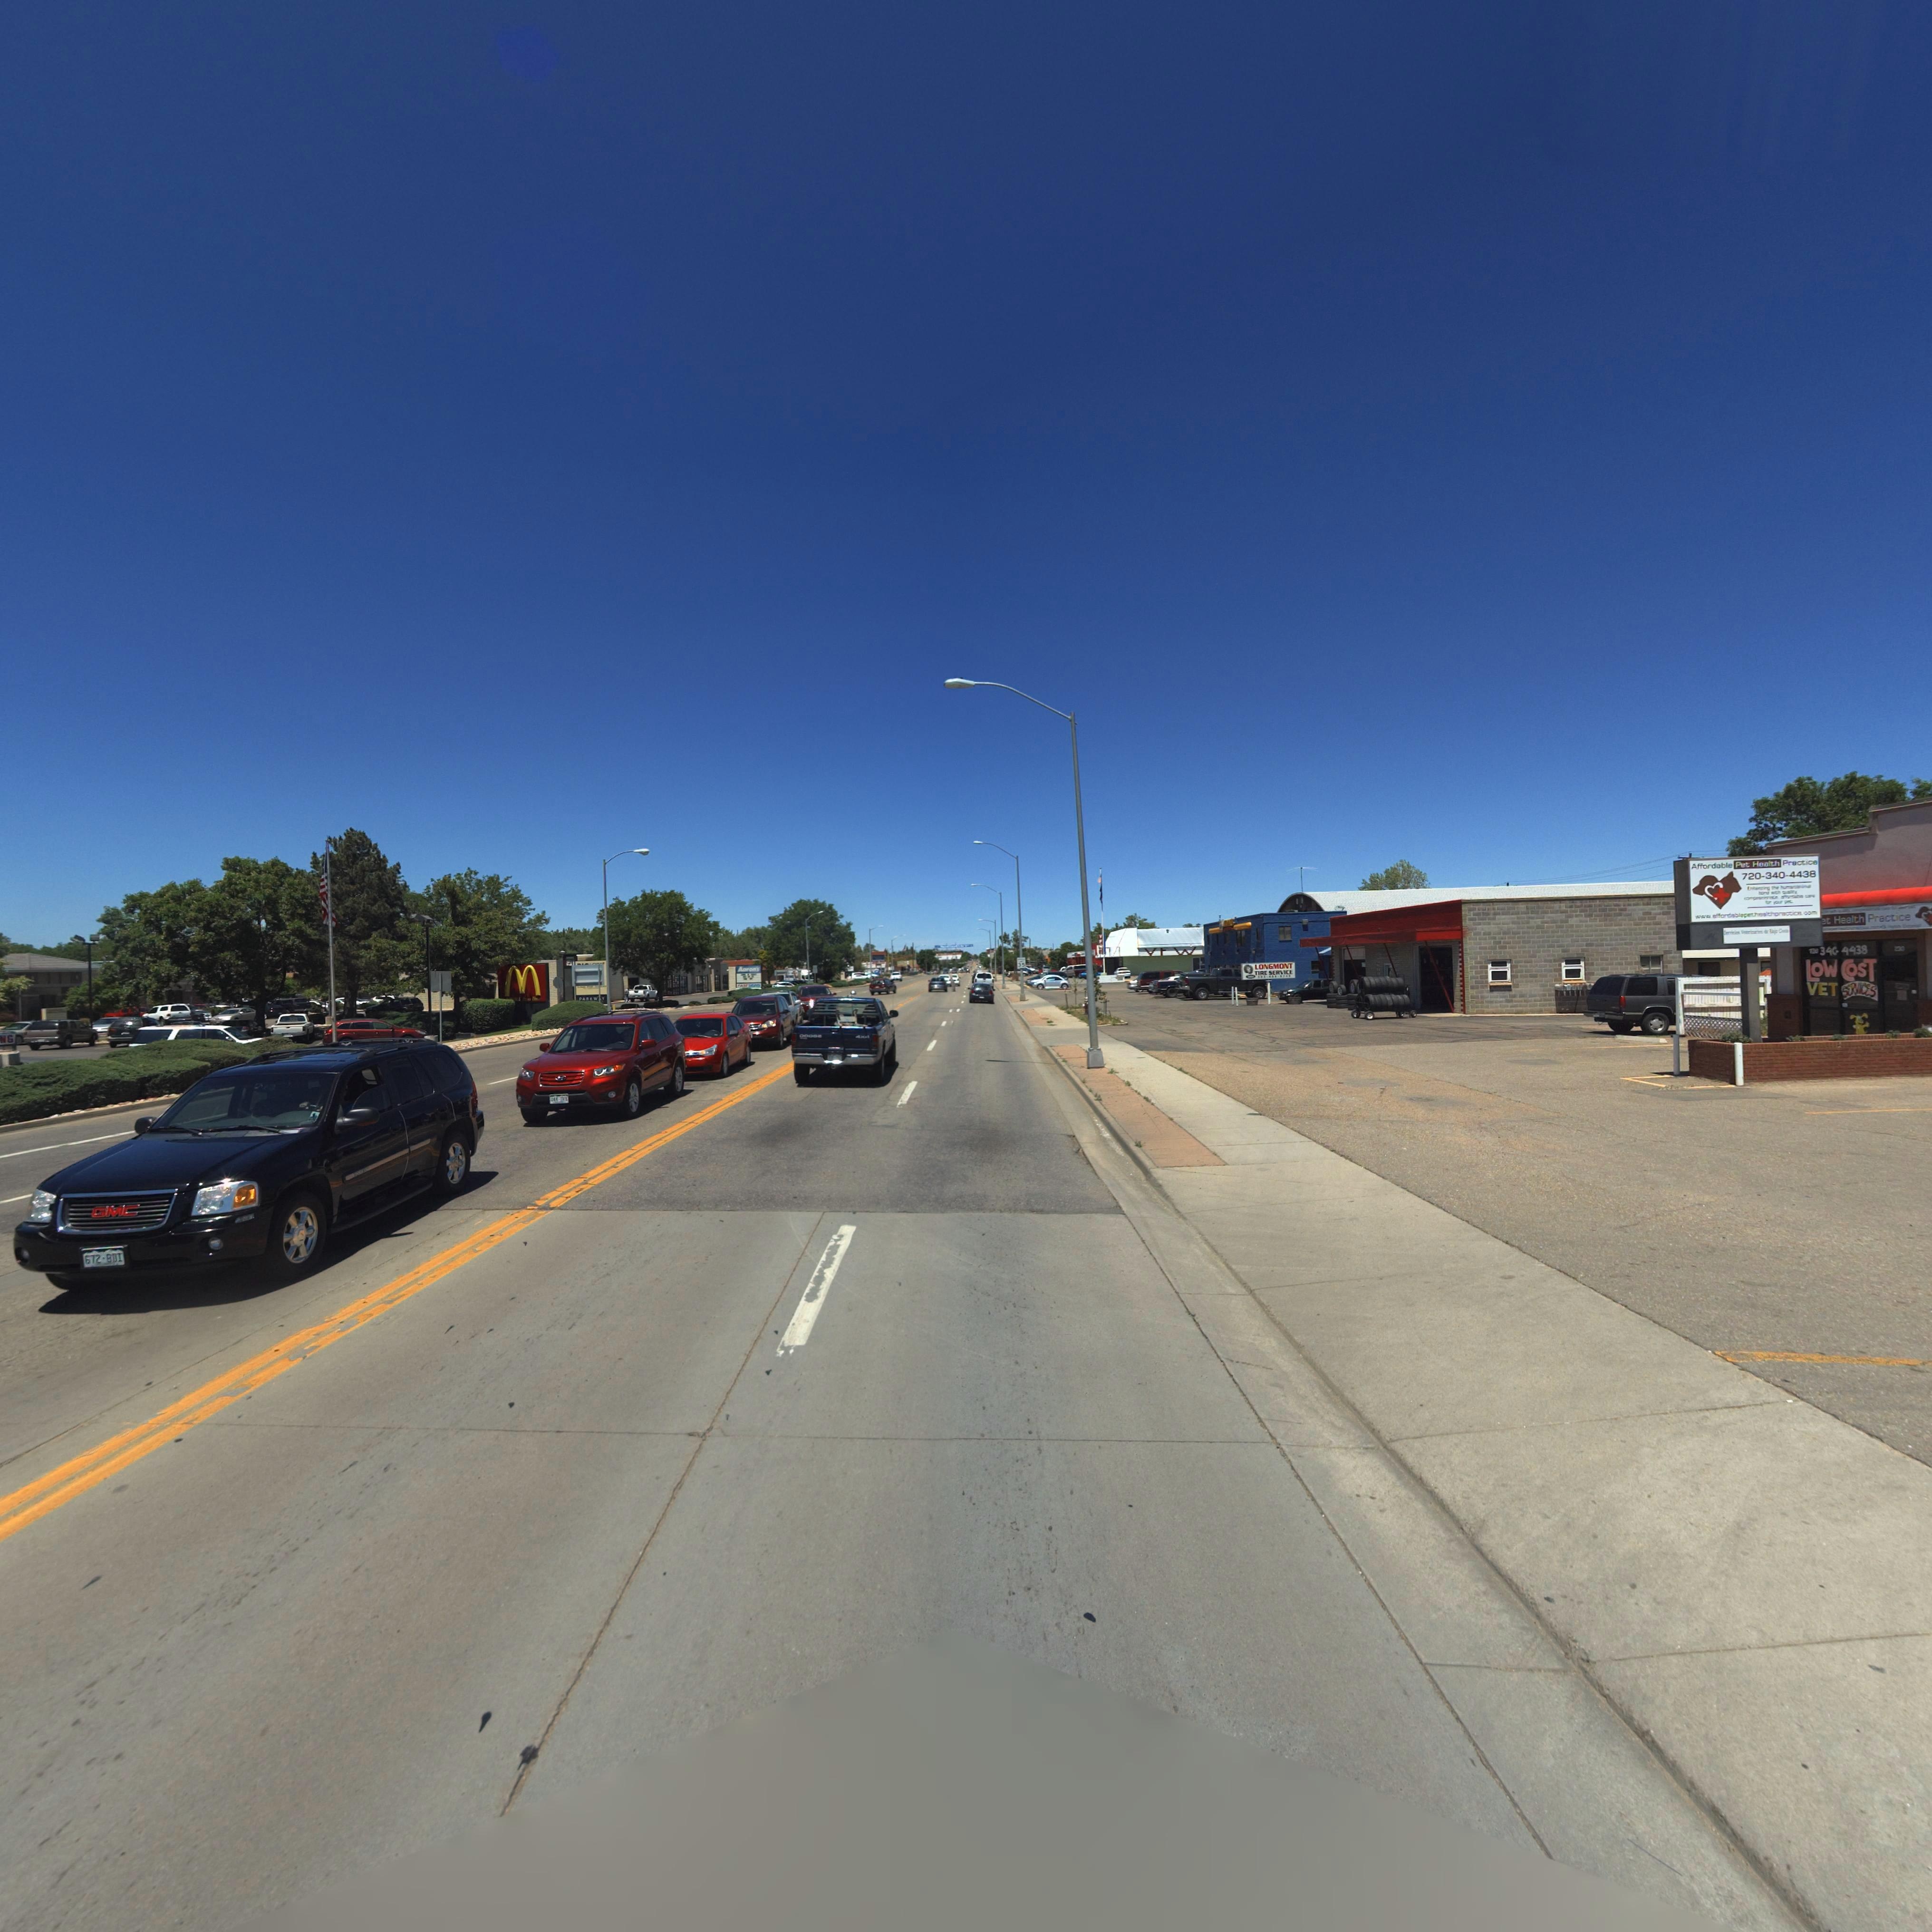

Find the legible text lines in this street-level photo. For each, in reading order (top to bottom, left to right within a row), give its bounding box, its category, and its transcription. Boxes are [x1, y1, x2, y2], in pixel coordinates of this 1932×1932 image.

[1691, 858, 1818, 870] BusinessName: Affordable Pet health Practice
[1822, 913, 1910, 925] BusinessName: et Health Practice
[1098, 934, 1103, 949] BusinessName: VF*
[1144, 946, 1197, 956] BusinessName: VFW
[1893, 946, 1905, 952] StreetNumber: 233
[737, 966, 760, 972] BusinessName: Aaron's
[1254, 969, 1293, 975] BusinessName: TIRE SERVICE
[1255, 963, 1293, 970] BusinessName: LONGMONT
[737, 984, 748, 987] BusinessName: FAST